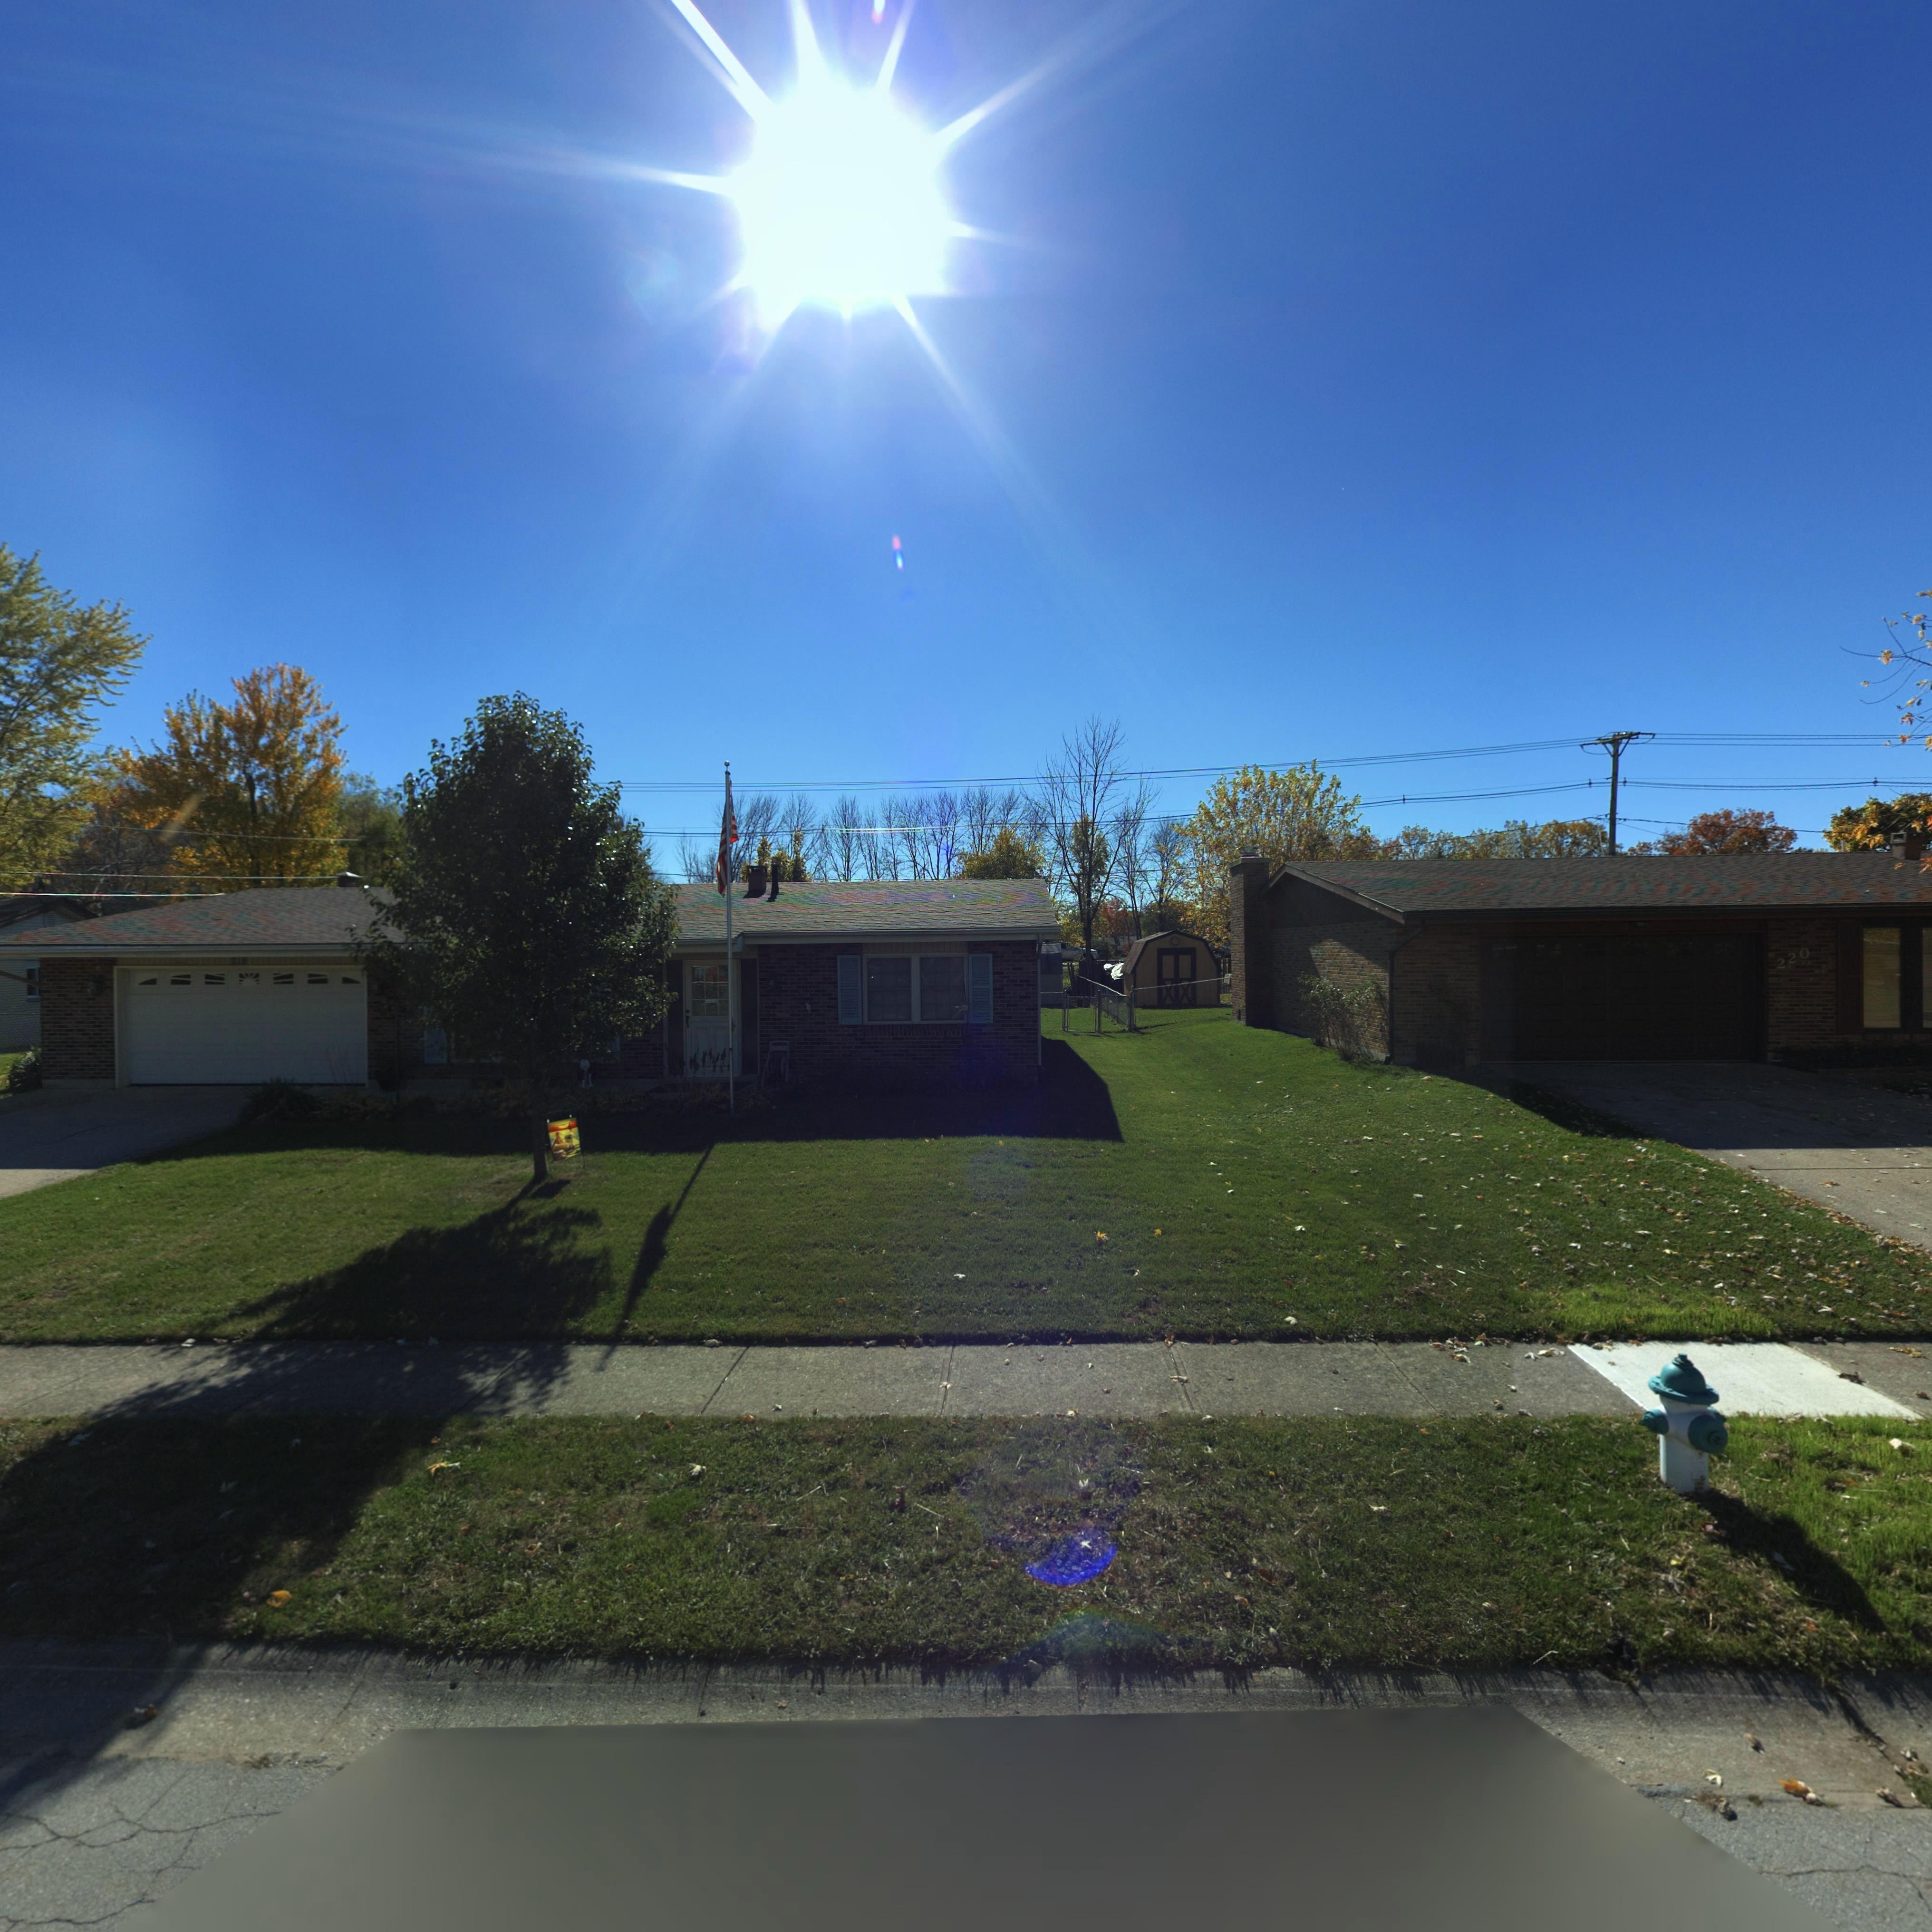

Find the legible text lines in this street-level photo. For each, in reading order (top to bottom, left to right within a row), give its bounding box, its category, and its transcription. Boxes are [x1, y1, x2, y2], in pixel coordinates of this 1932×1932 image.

[230, 956, 248, 966] StreetNumber: 218
[1776, 947, 1810, 969] StreetNumber: 220